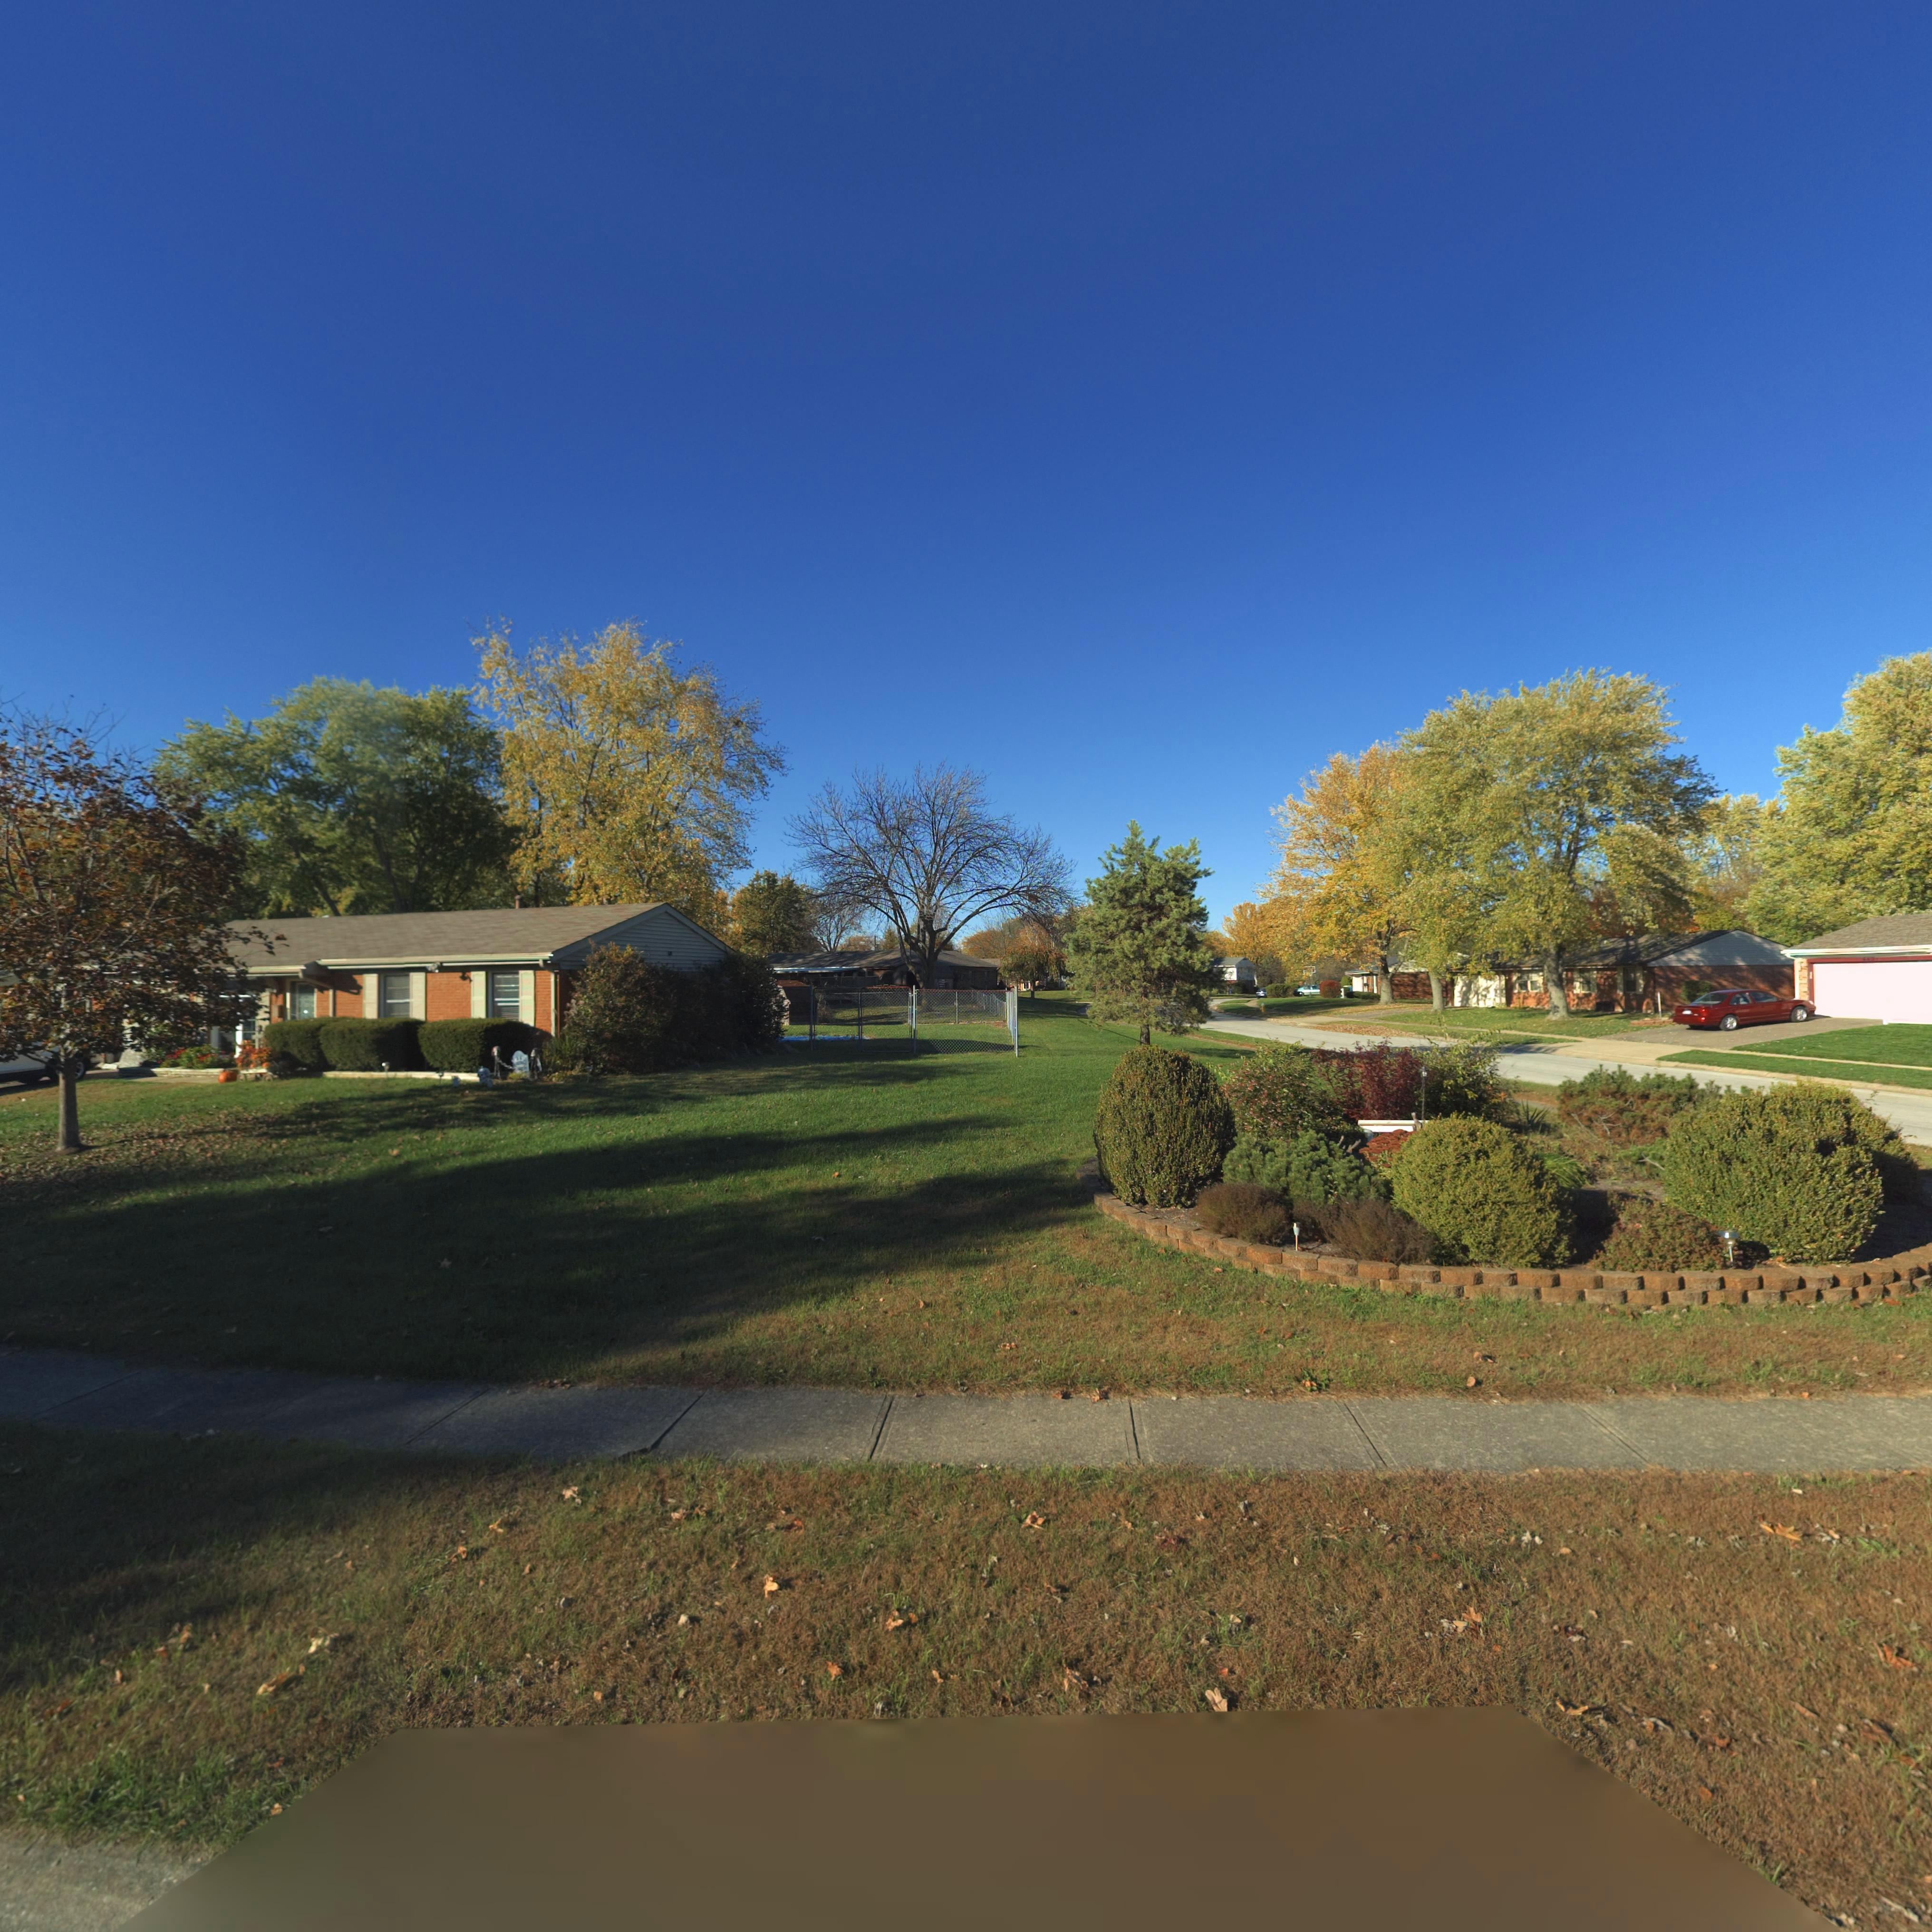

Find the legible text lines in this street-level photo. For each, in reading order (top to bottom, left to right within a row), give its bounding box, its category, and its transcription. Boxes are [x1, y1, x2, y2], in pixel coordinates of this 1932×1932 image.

[1862, 956, 1879, 962] StreetNumber: 6621